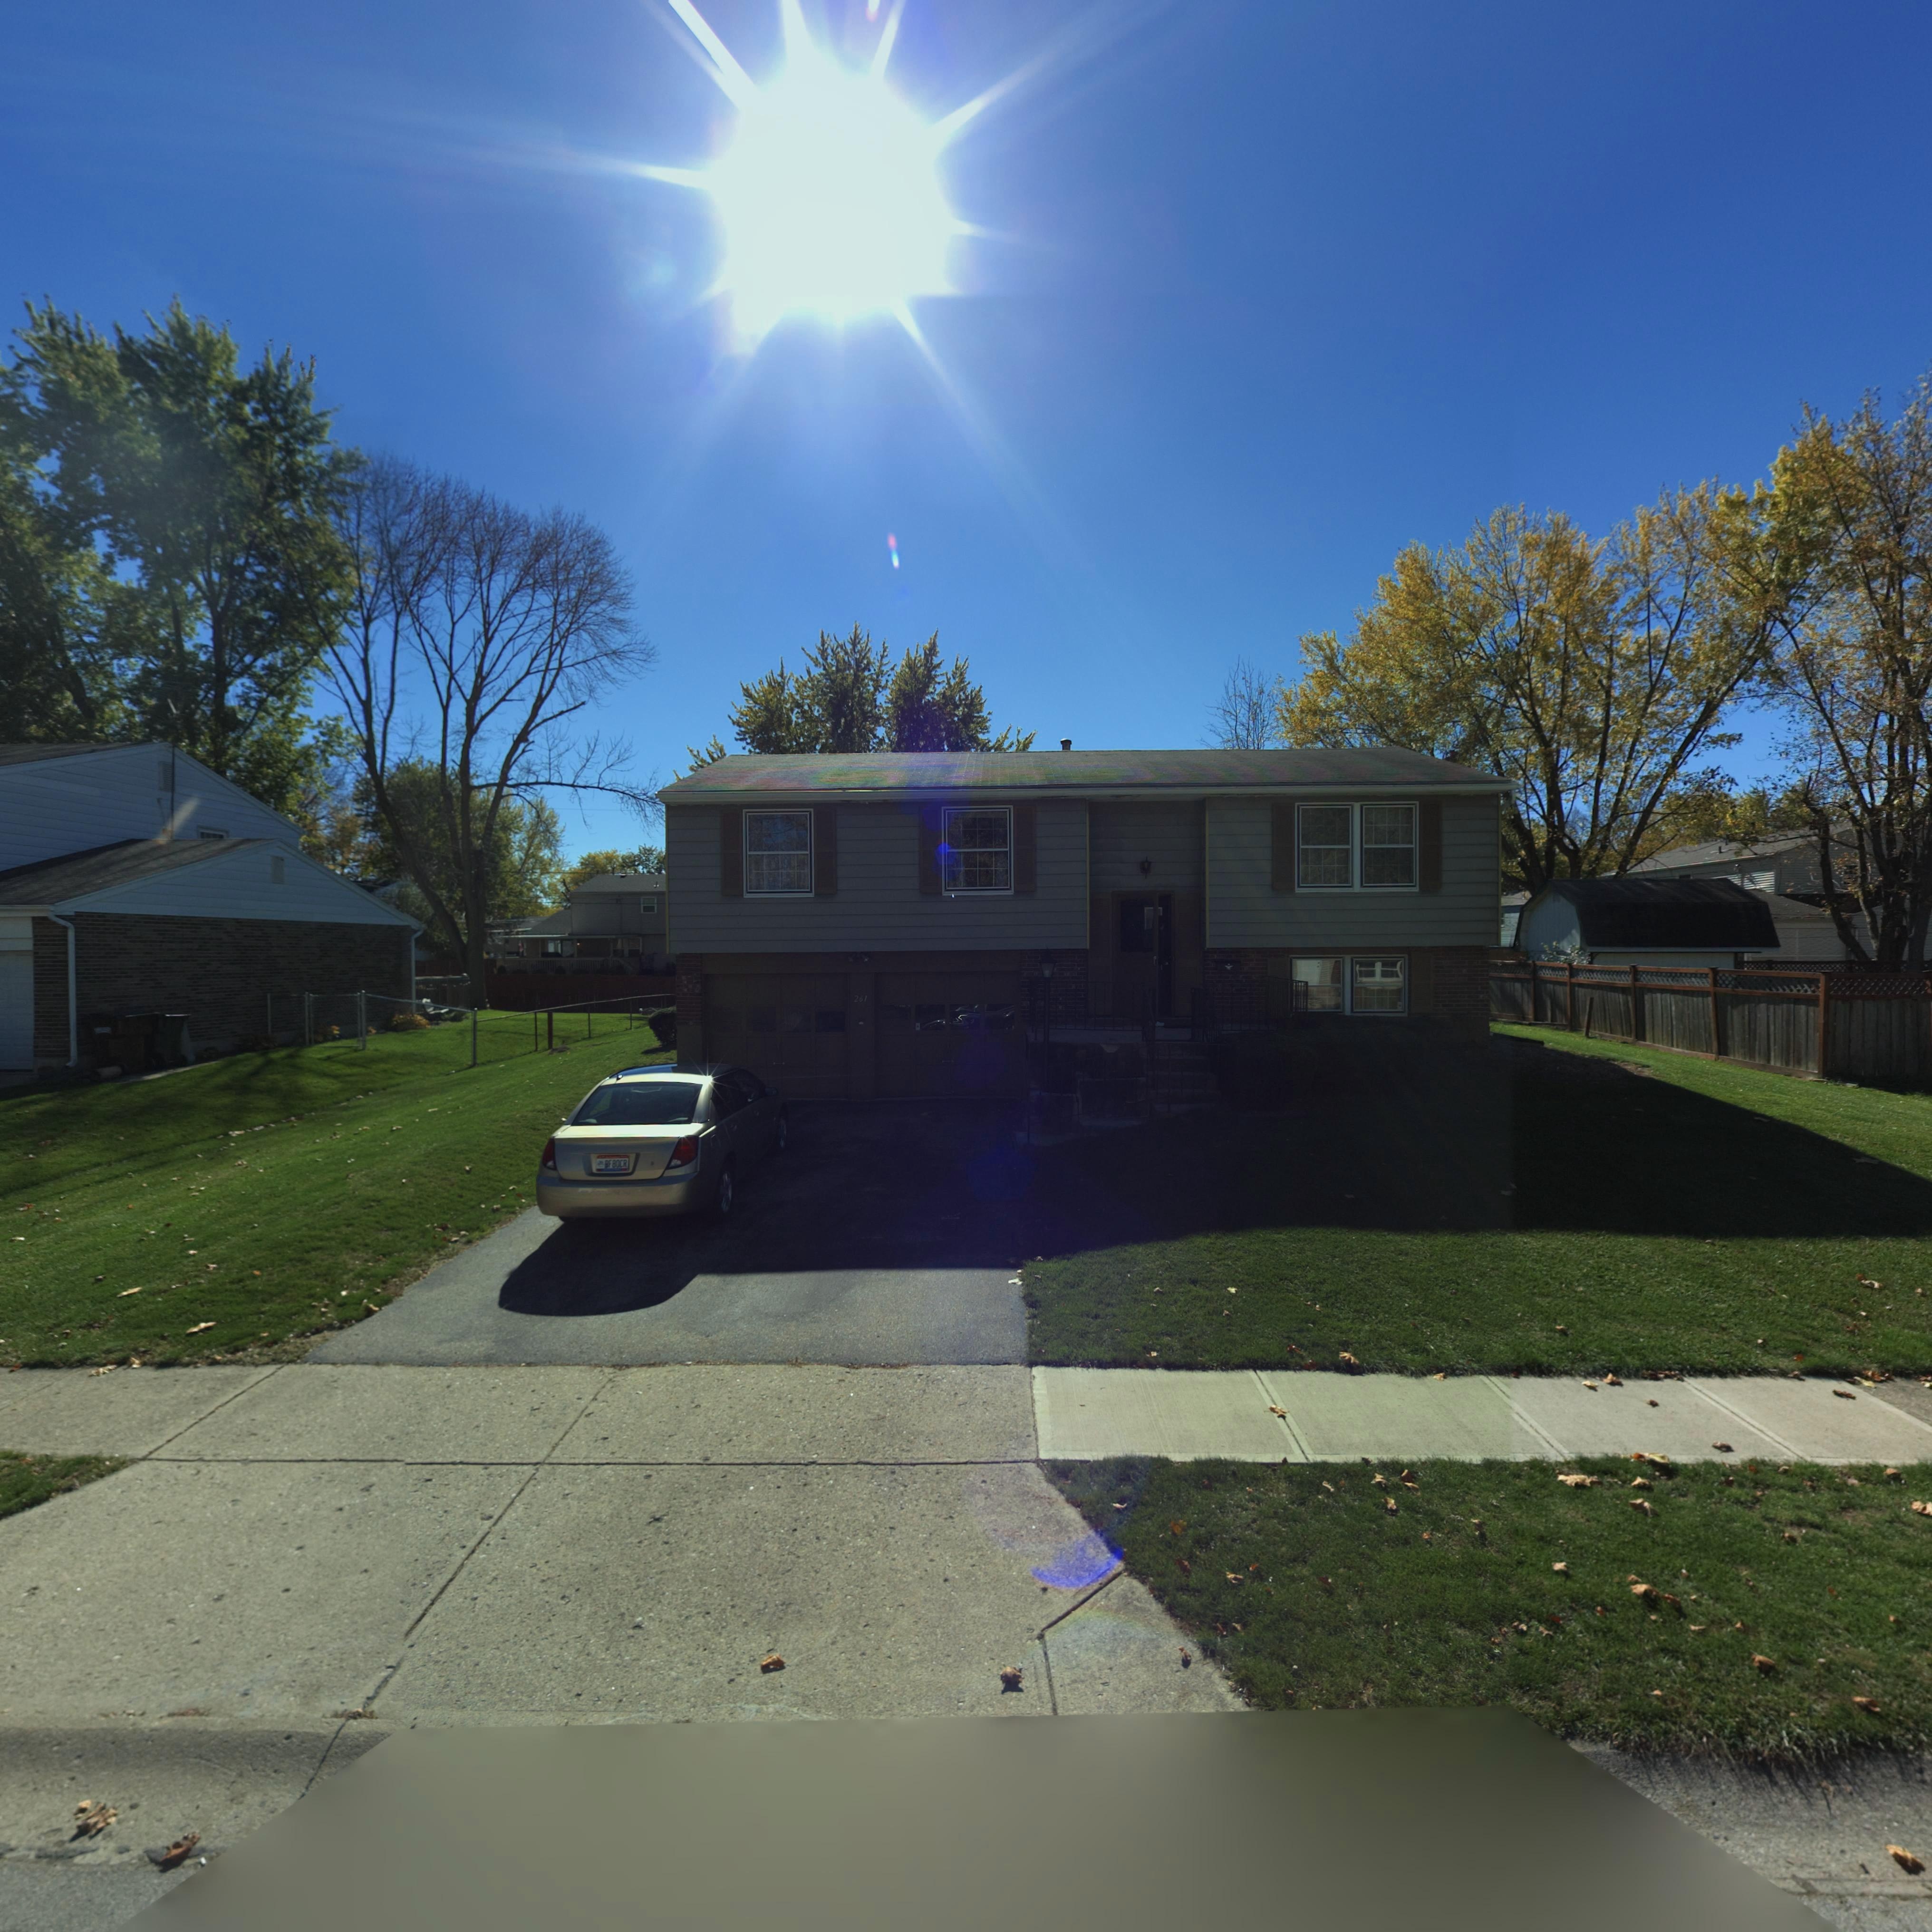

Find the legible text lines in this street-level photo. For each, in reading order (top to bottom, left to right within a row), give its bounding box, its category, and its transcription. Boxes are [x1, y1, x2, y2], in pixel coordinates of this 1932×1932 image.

[853, 994, 868, 1003] StreetNumber: 261